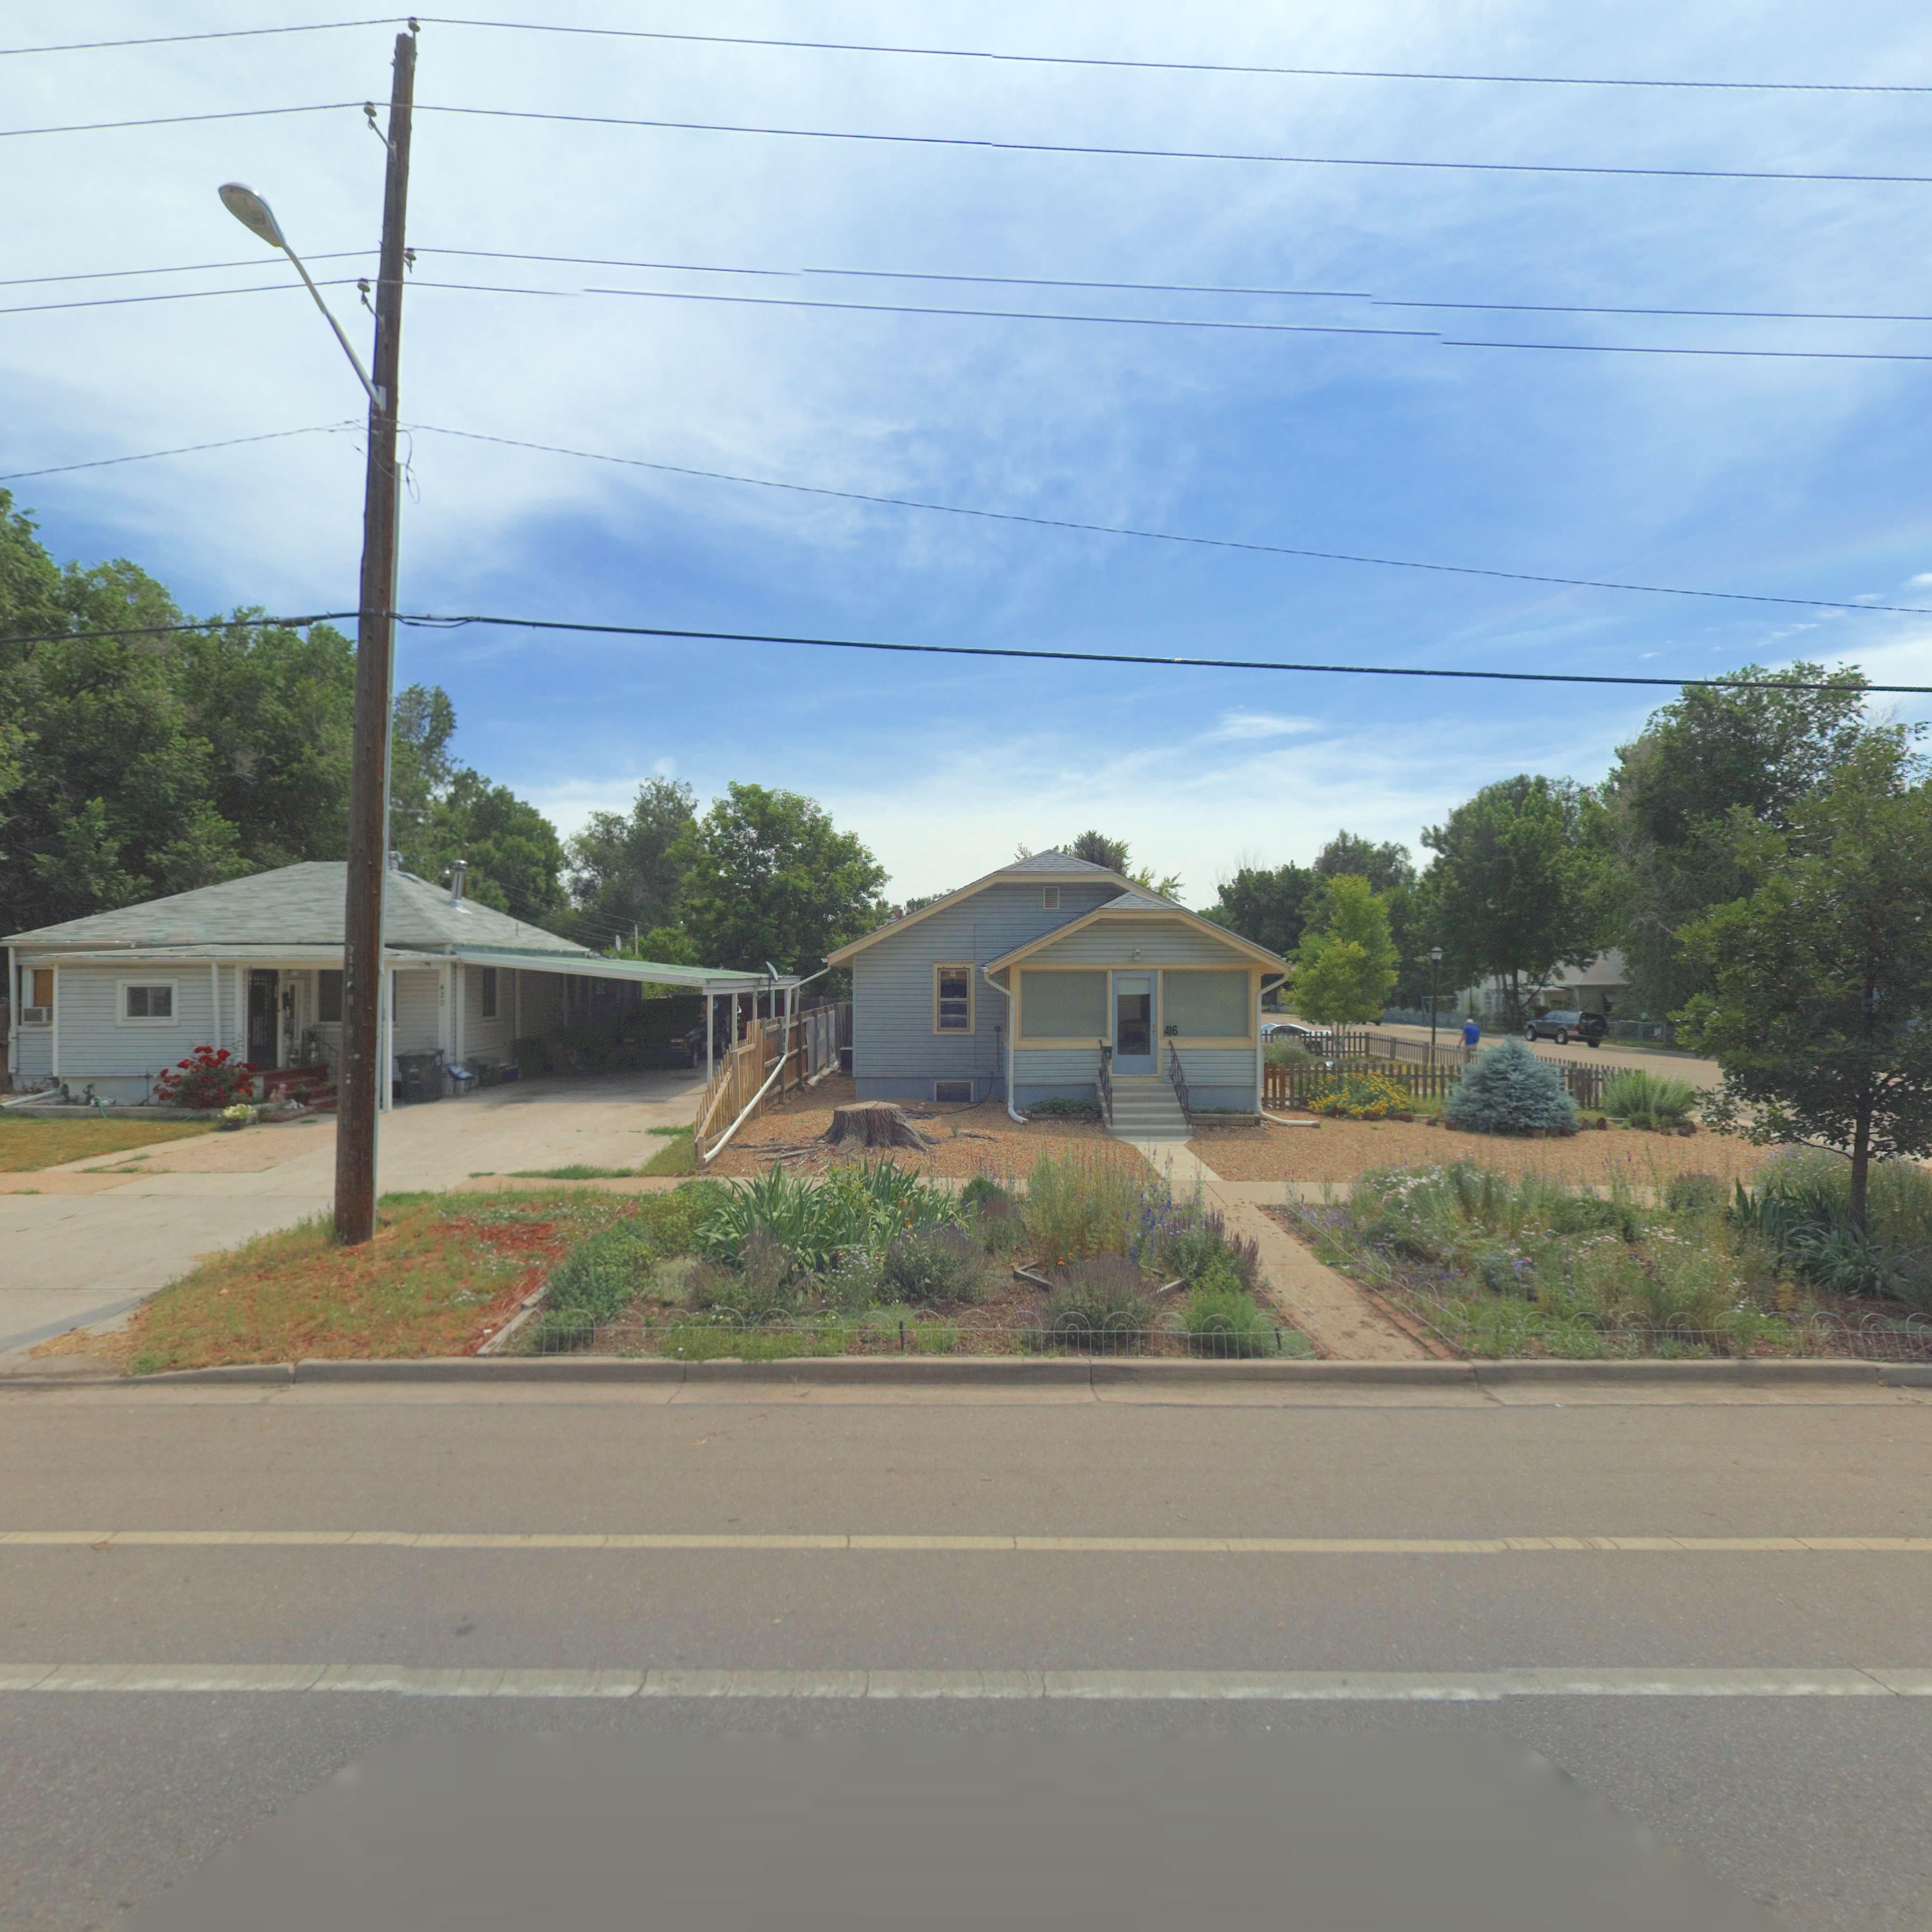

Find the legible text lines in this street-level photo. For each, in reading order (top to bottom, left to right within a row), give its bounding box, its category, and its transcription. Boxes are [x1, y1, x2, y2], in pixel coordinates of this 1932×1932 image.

[439, 983, 445, 1006] StreetNumber: 420
[1164, 1024, 1178, 1036] StreetNumber: 416